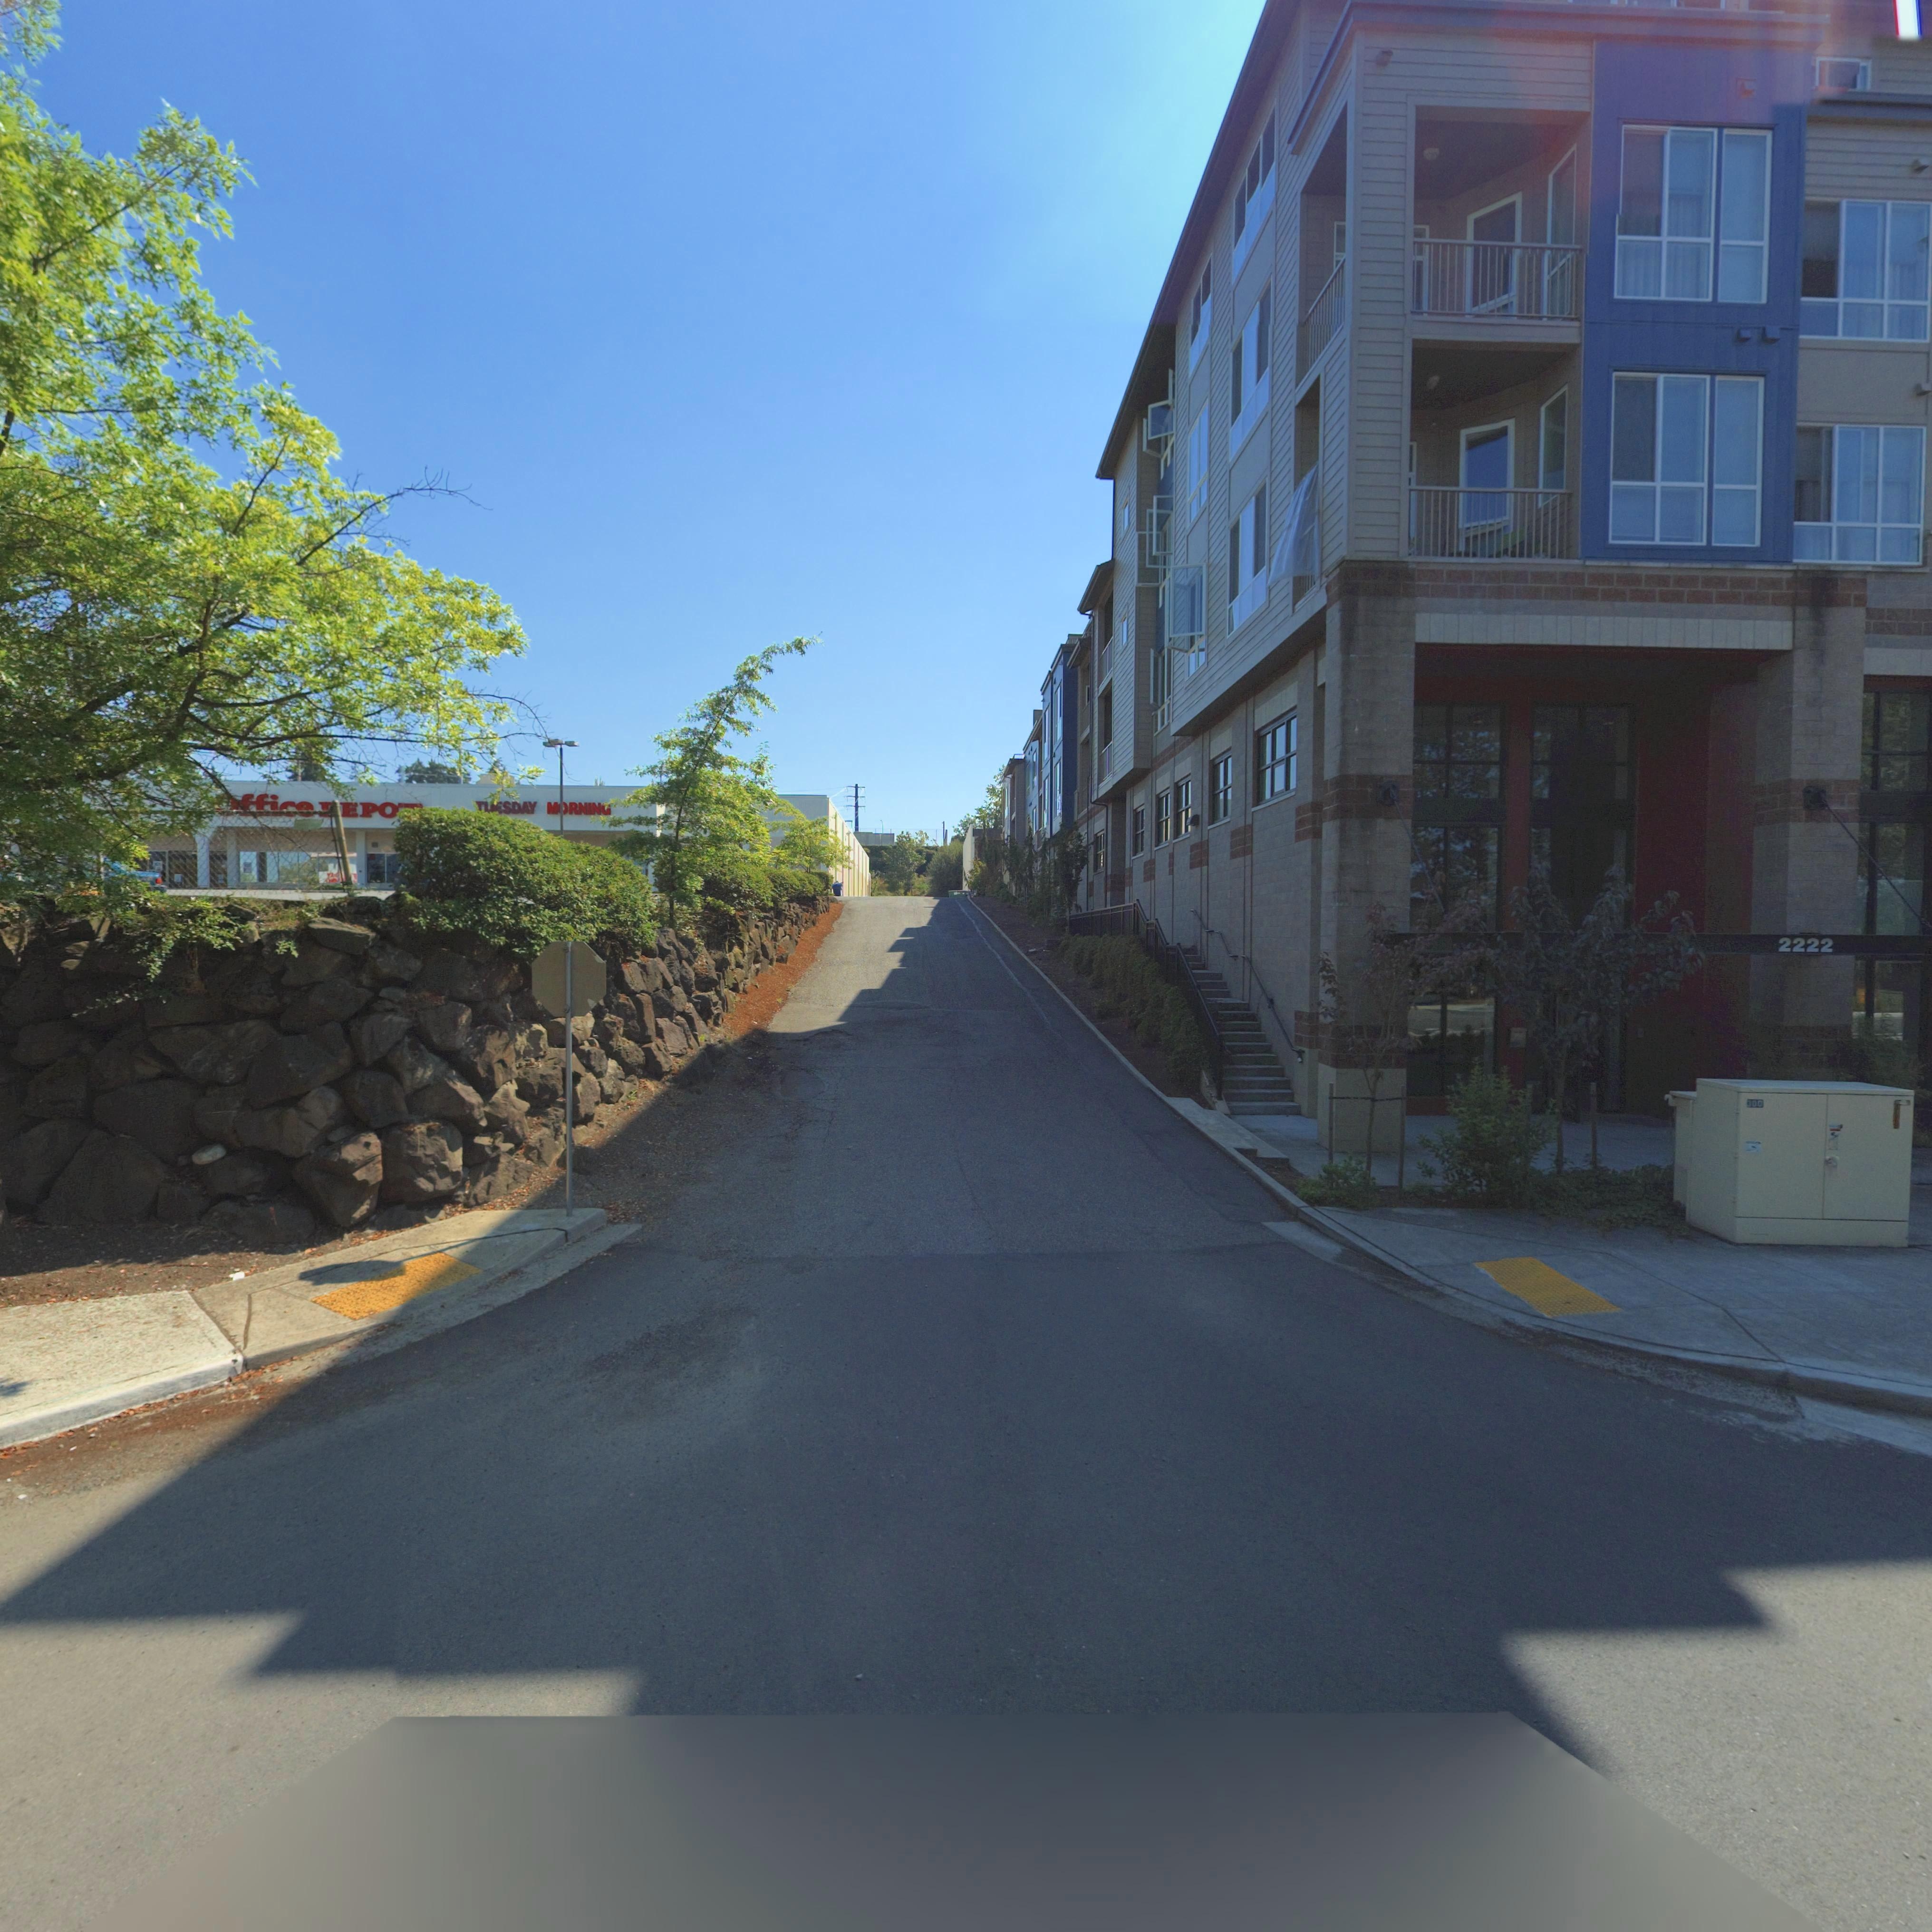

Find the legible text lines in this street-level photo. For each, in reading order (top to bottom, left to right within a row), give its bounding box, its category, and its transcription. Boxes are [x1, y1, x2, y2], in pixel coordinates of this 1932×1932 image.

[213, 792, 422, 816] BusinessName: *ffice *EPO*
[1779, 937, 1832, 952] StreetNumber: 2222